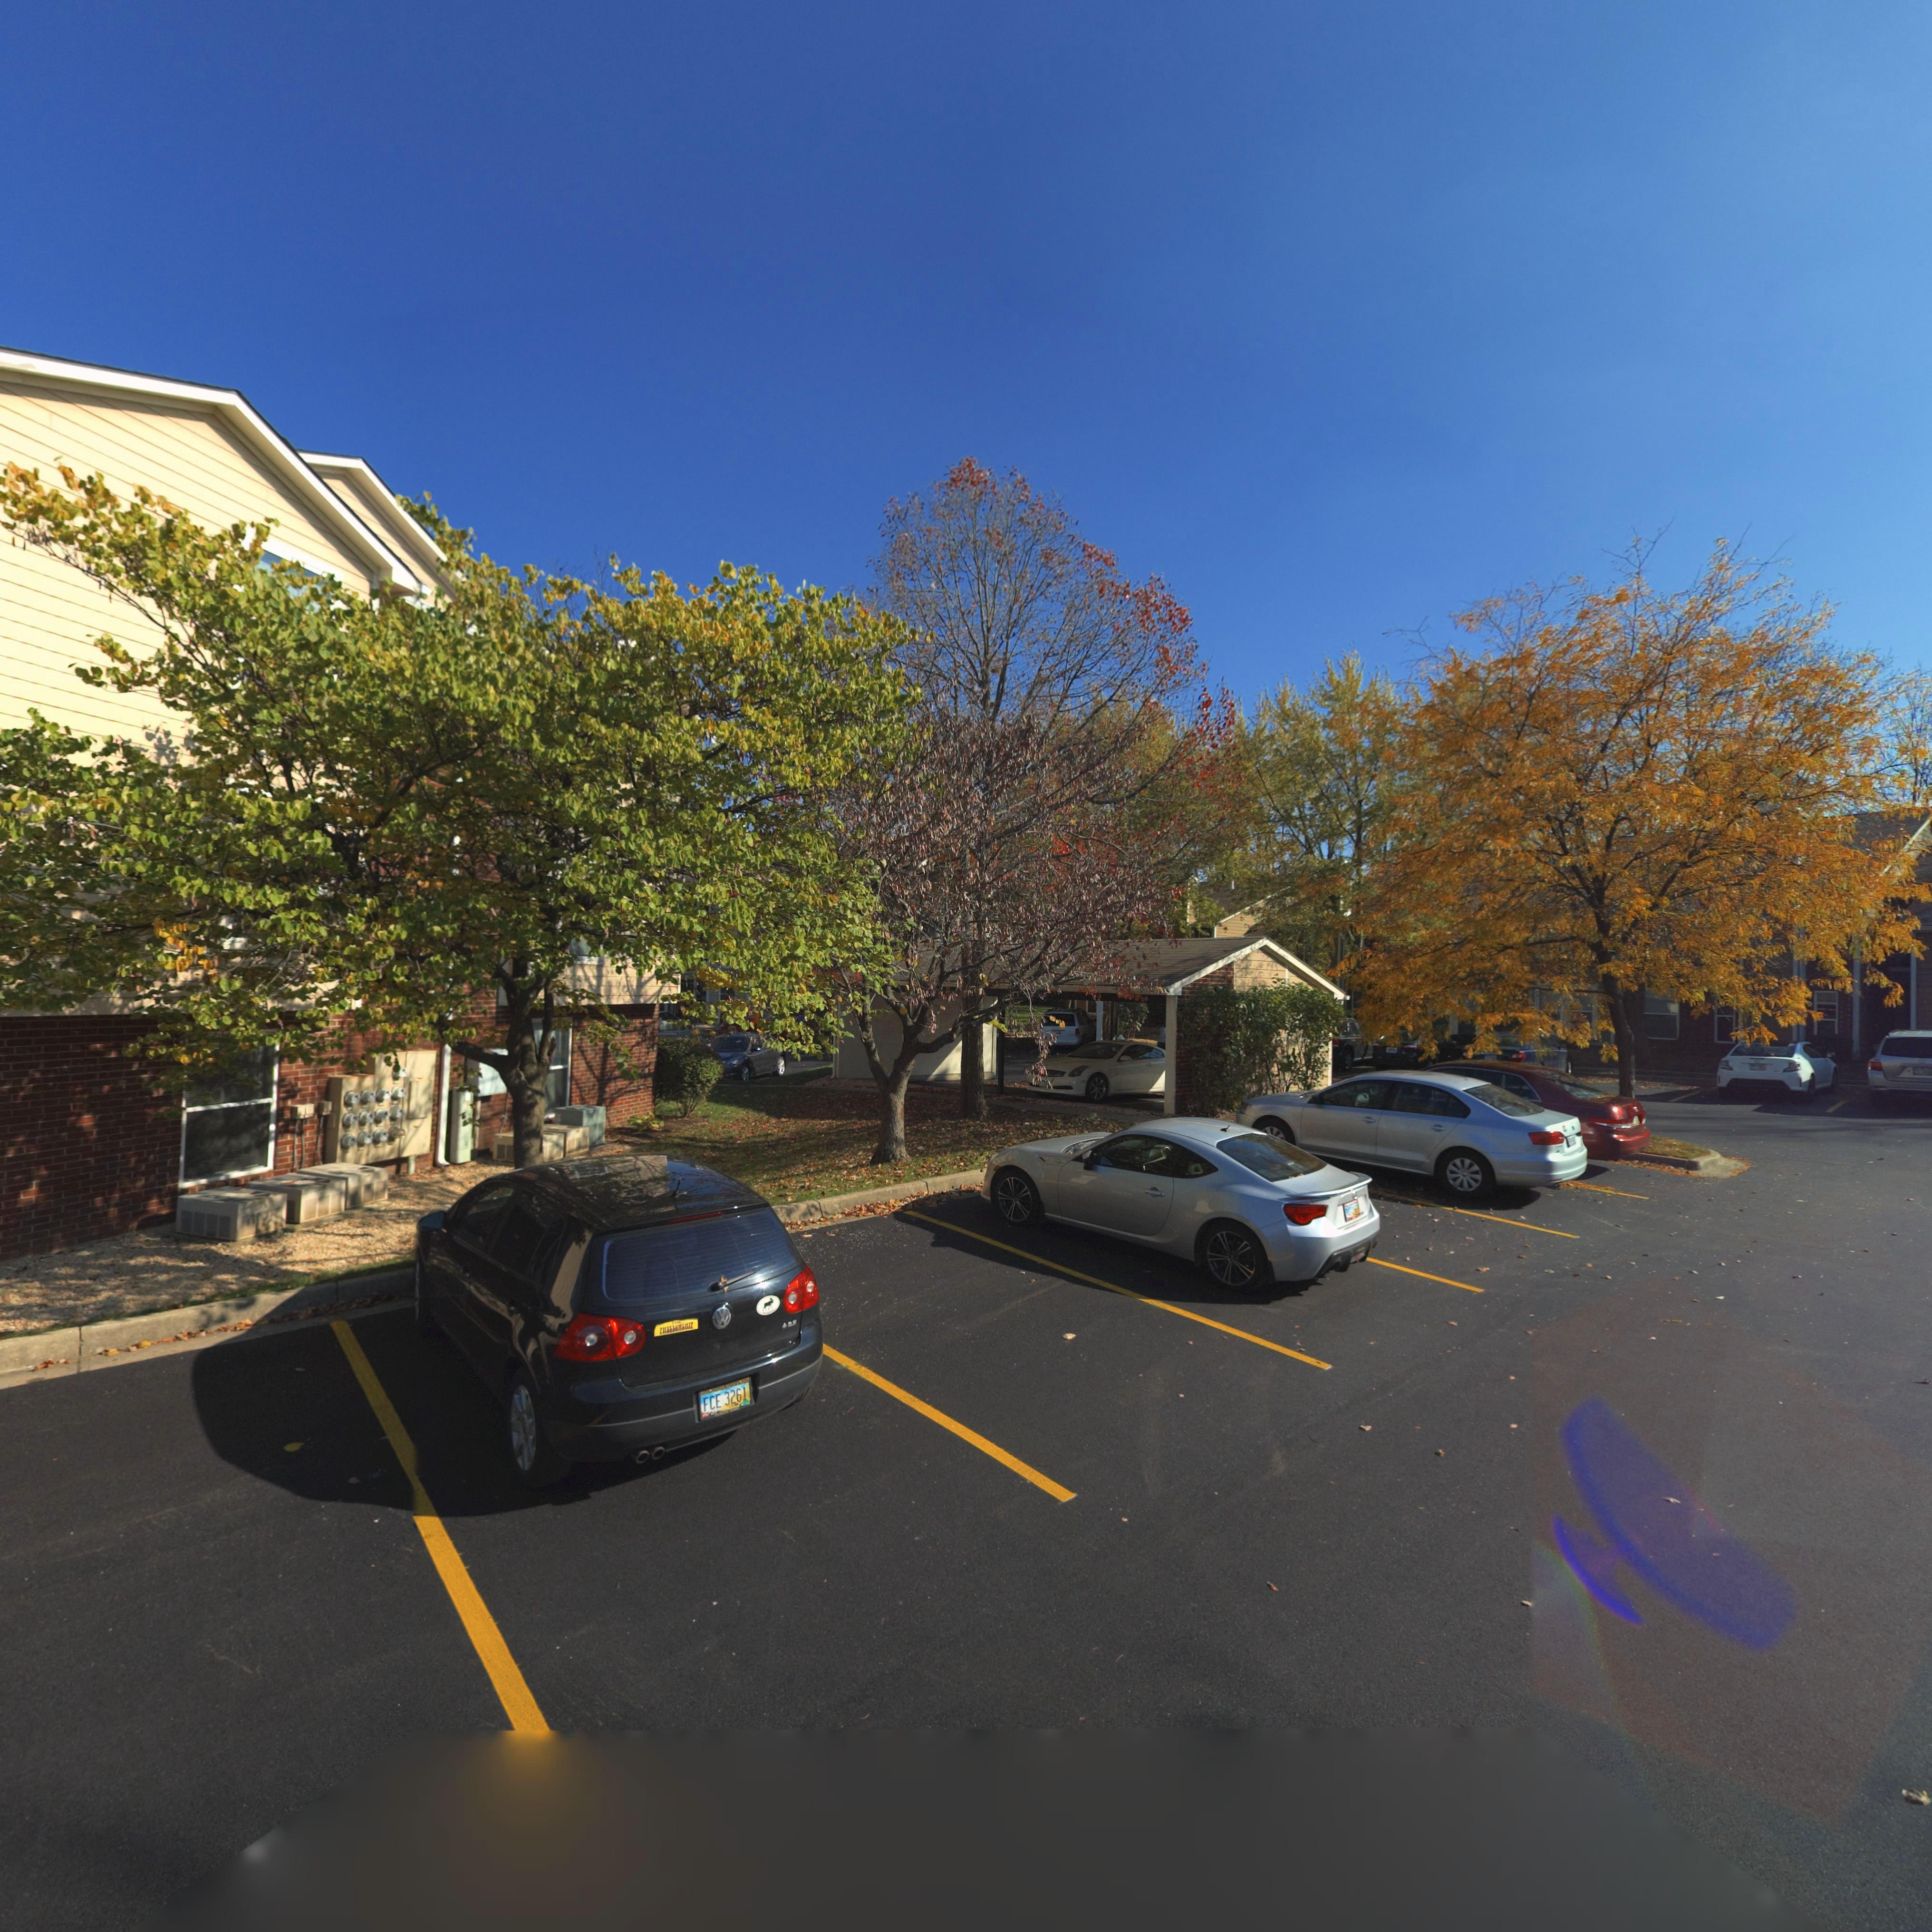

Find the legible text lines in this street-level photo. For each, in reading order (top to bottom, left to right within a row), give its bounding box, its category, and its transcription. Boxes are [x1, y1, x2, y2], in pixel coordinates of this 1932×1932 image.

[703, 1385, 748, 1414] None: FCE 3261